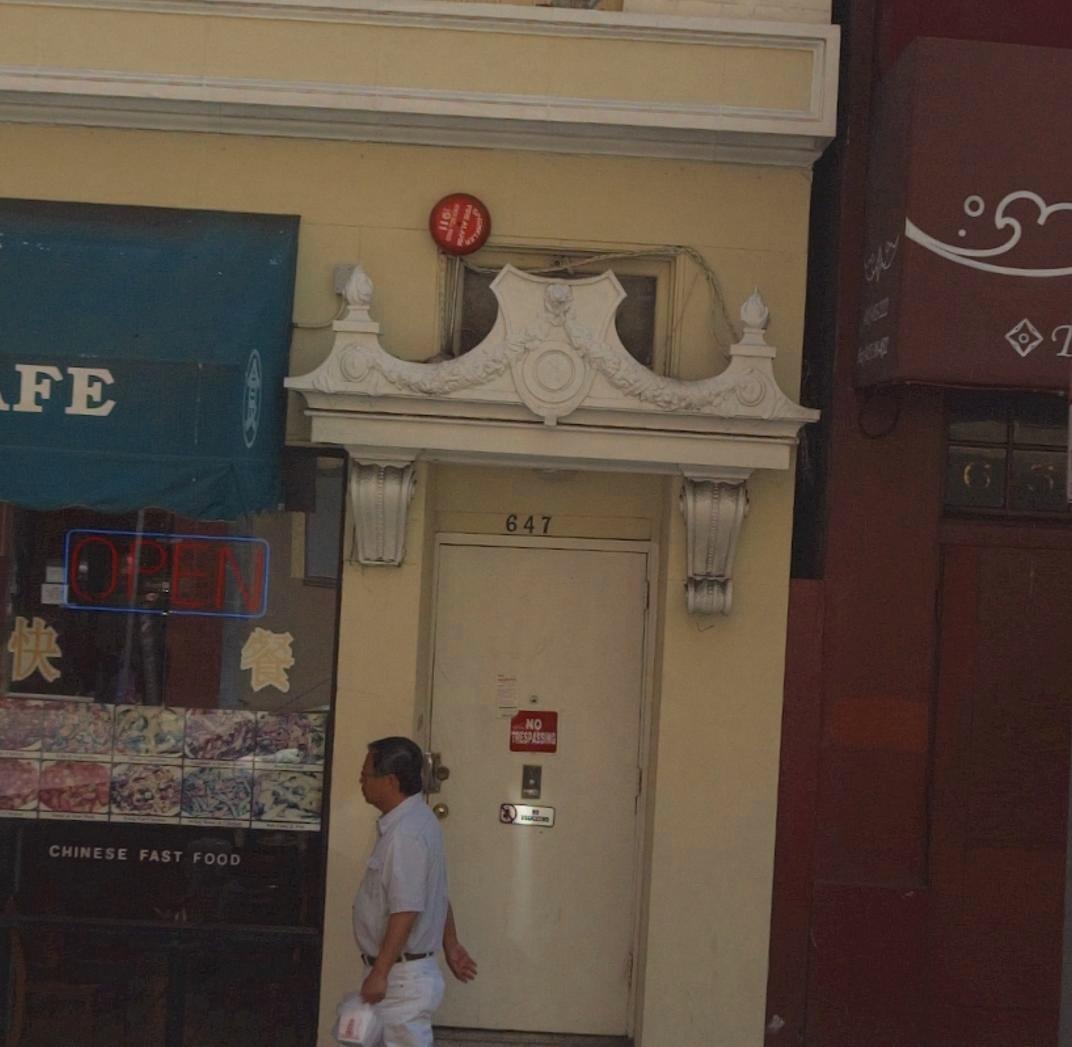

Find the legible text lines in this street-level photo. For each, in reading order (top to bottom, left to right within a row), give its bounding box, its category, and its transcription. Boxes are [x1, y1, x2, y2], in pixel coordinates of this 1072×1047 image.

[11, 362, 119, 419] None: FE
[958, 456, 1059, 498] StreetNumber: 65
[504, 510, 553, 538] StreetNumber: 647
[67, 534, 267, 614] None: OPEN
[525, 716, 543, 731] None: NO
[510, 730, 557, 746] None: TRESPASSING
[48, 843, 242, 867] None: CHINESE FAST FOOD